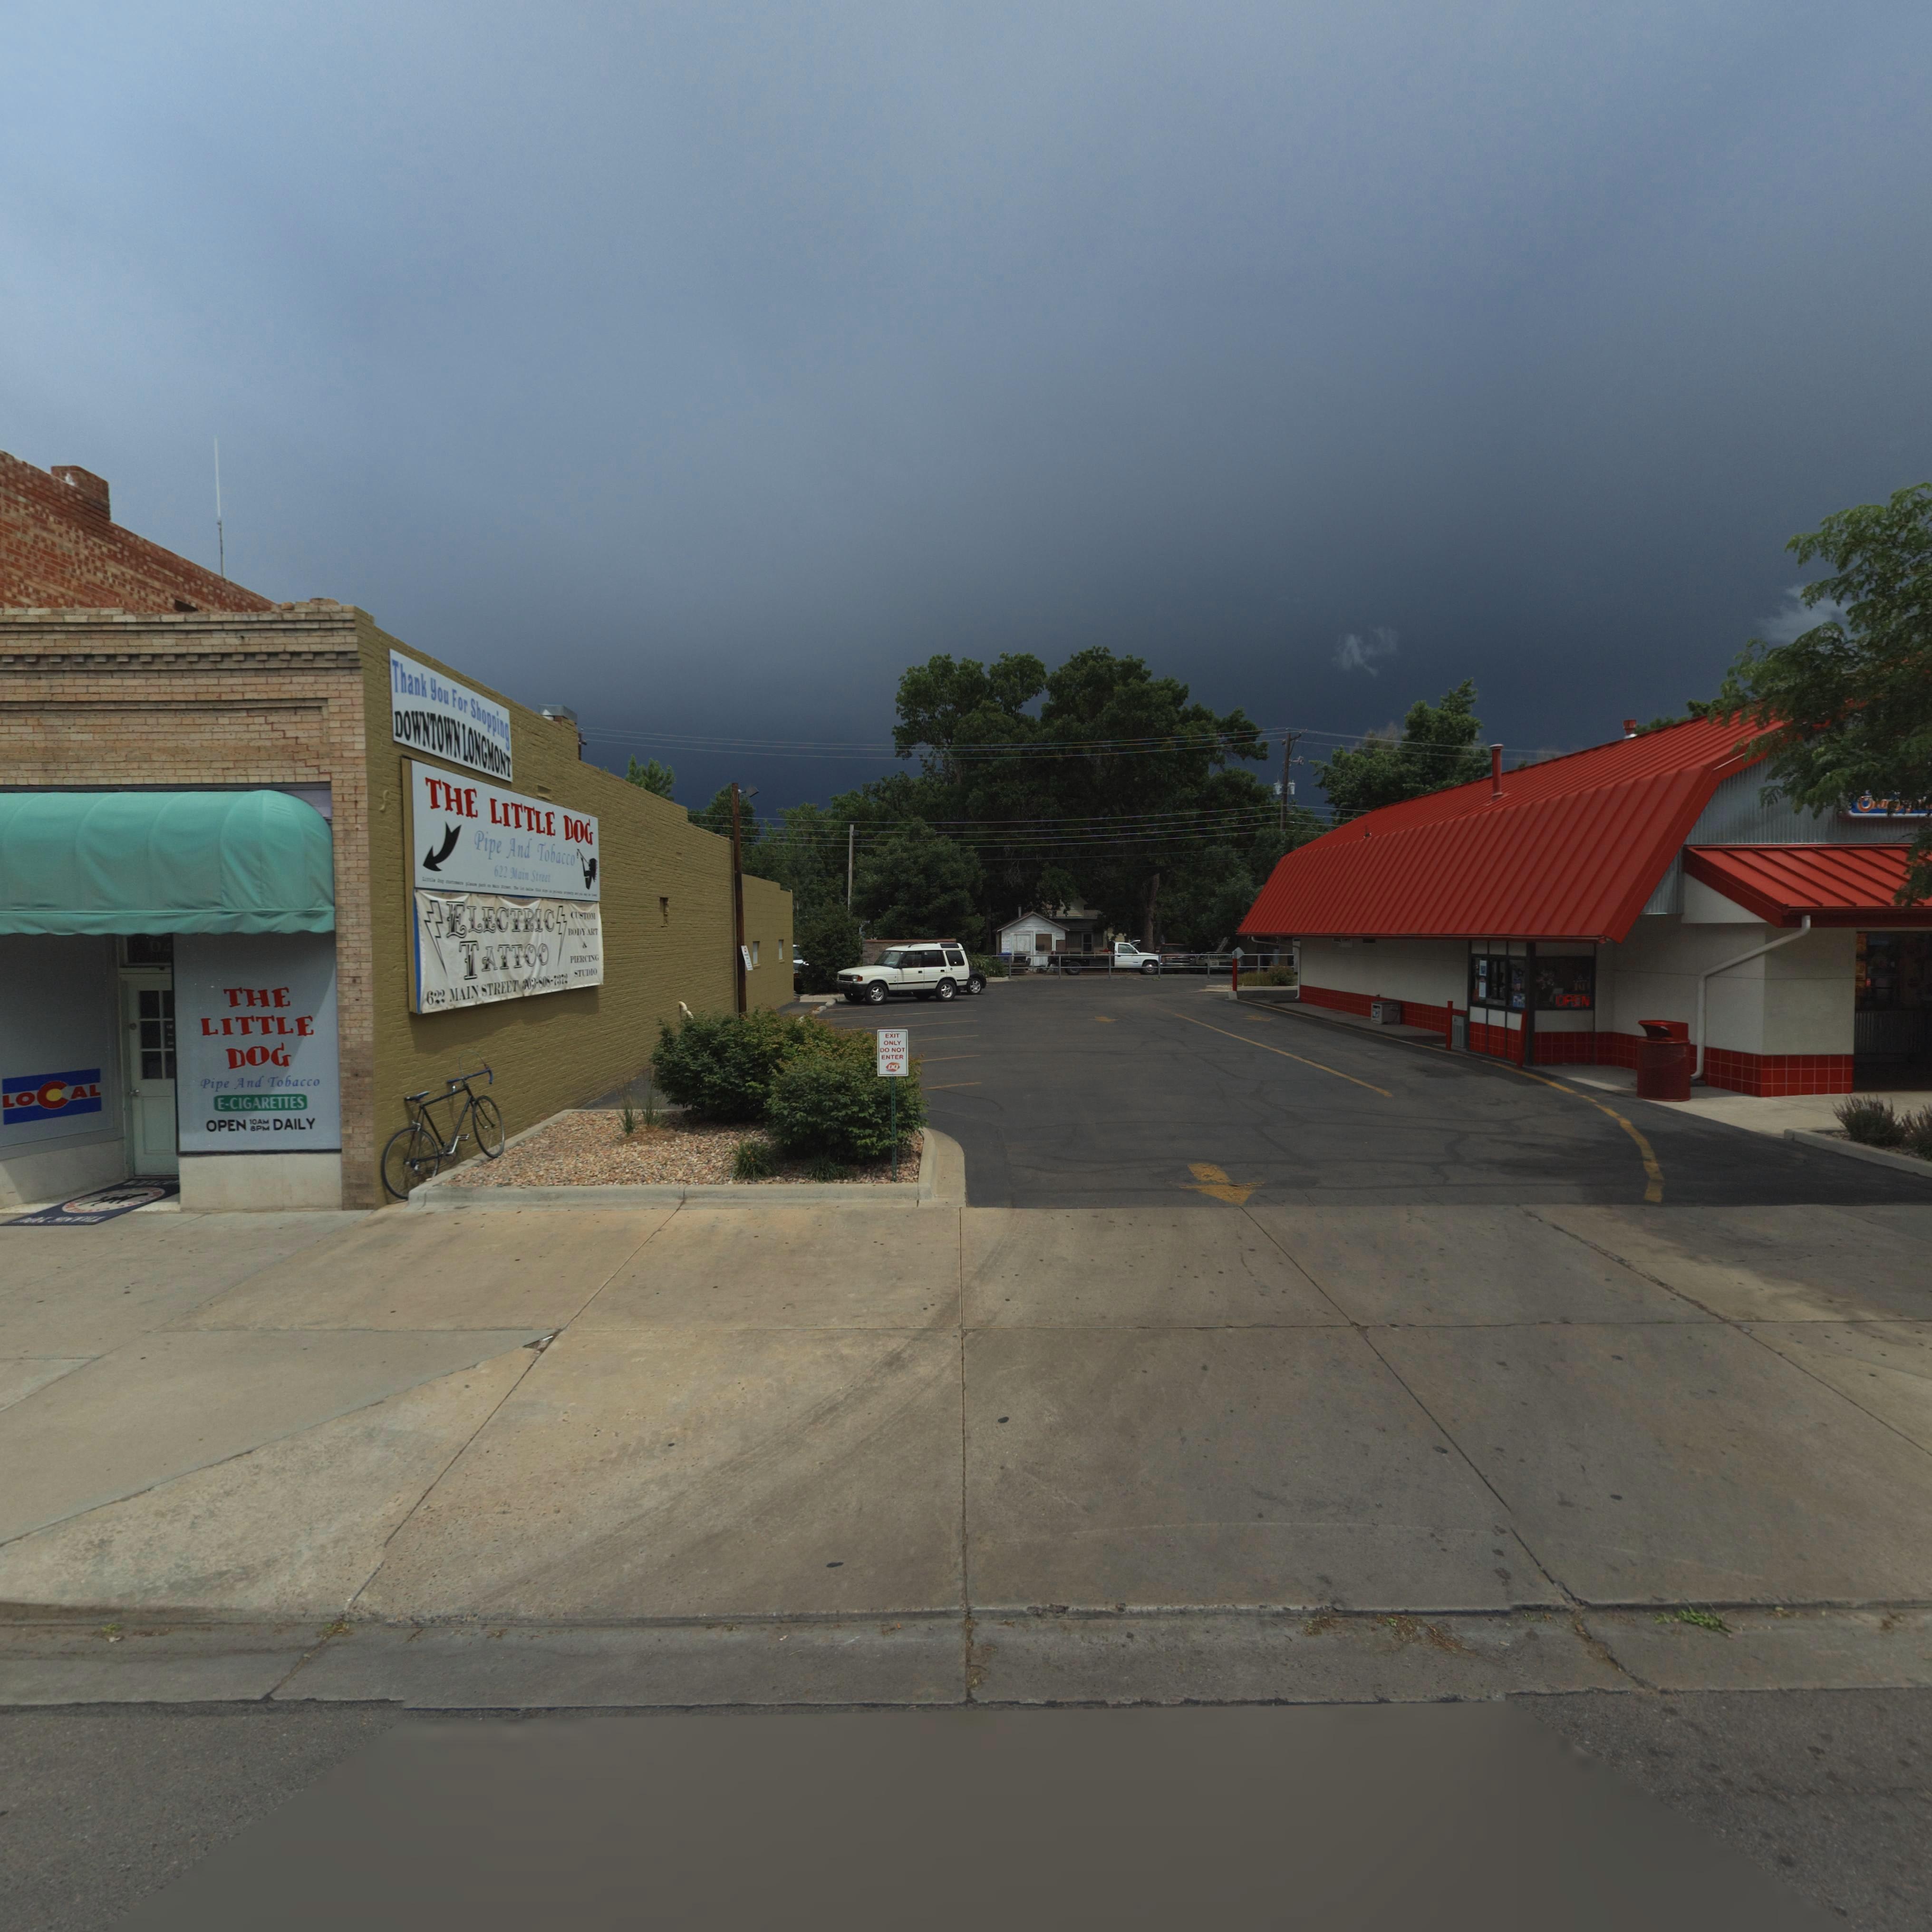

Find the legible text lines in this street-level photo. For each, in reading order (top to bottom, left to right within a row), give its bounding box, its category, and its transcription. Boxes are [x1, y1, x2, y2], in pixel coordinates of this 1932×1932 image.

[424, 775, 594, 846] BusinessName: THE LITTLE DOG
[1855, 793, 1876, 814] BusinessName: O
[493, 863, 509, 879] StreetNumber: 622
[509, 865, 551, 884] StreetName: Main Street
[445, 900, 555, 939] BusinessName: ELECTRIC
[147, 933, 171, 954] StreetNumber: 6*
[457, 939, 550, 981] StreetNumber: TATTOO
[222, 985, 292, 1007] BusinessName: THE
[425, 988, 446, 1005] StreetNumber: 622
[448, 978, 519, 1003] BusinessName: MAIN STREET
[200, 1014, 315, 1036] BusinessName: LITTLE
[224, 1044, 291, 1070] BusinessName: DOG
[888, 1063, 899, 1071] BusinessName: DQ